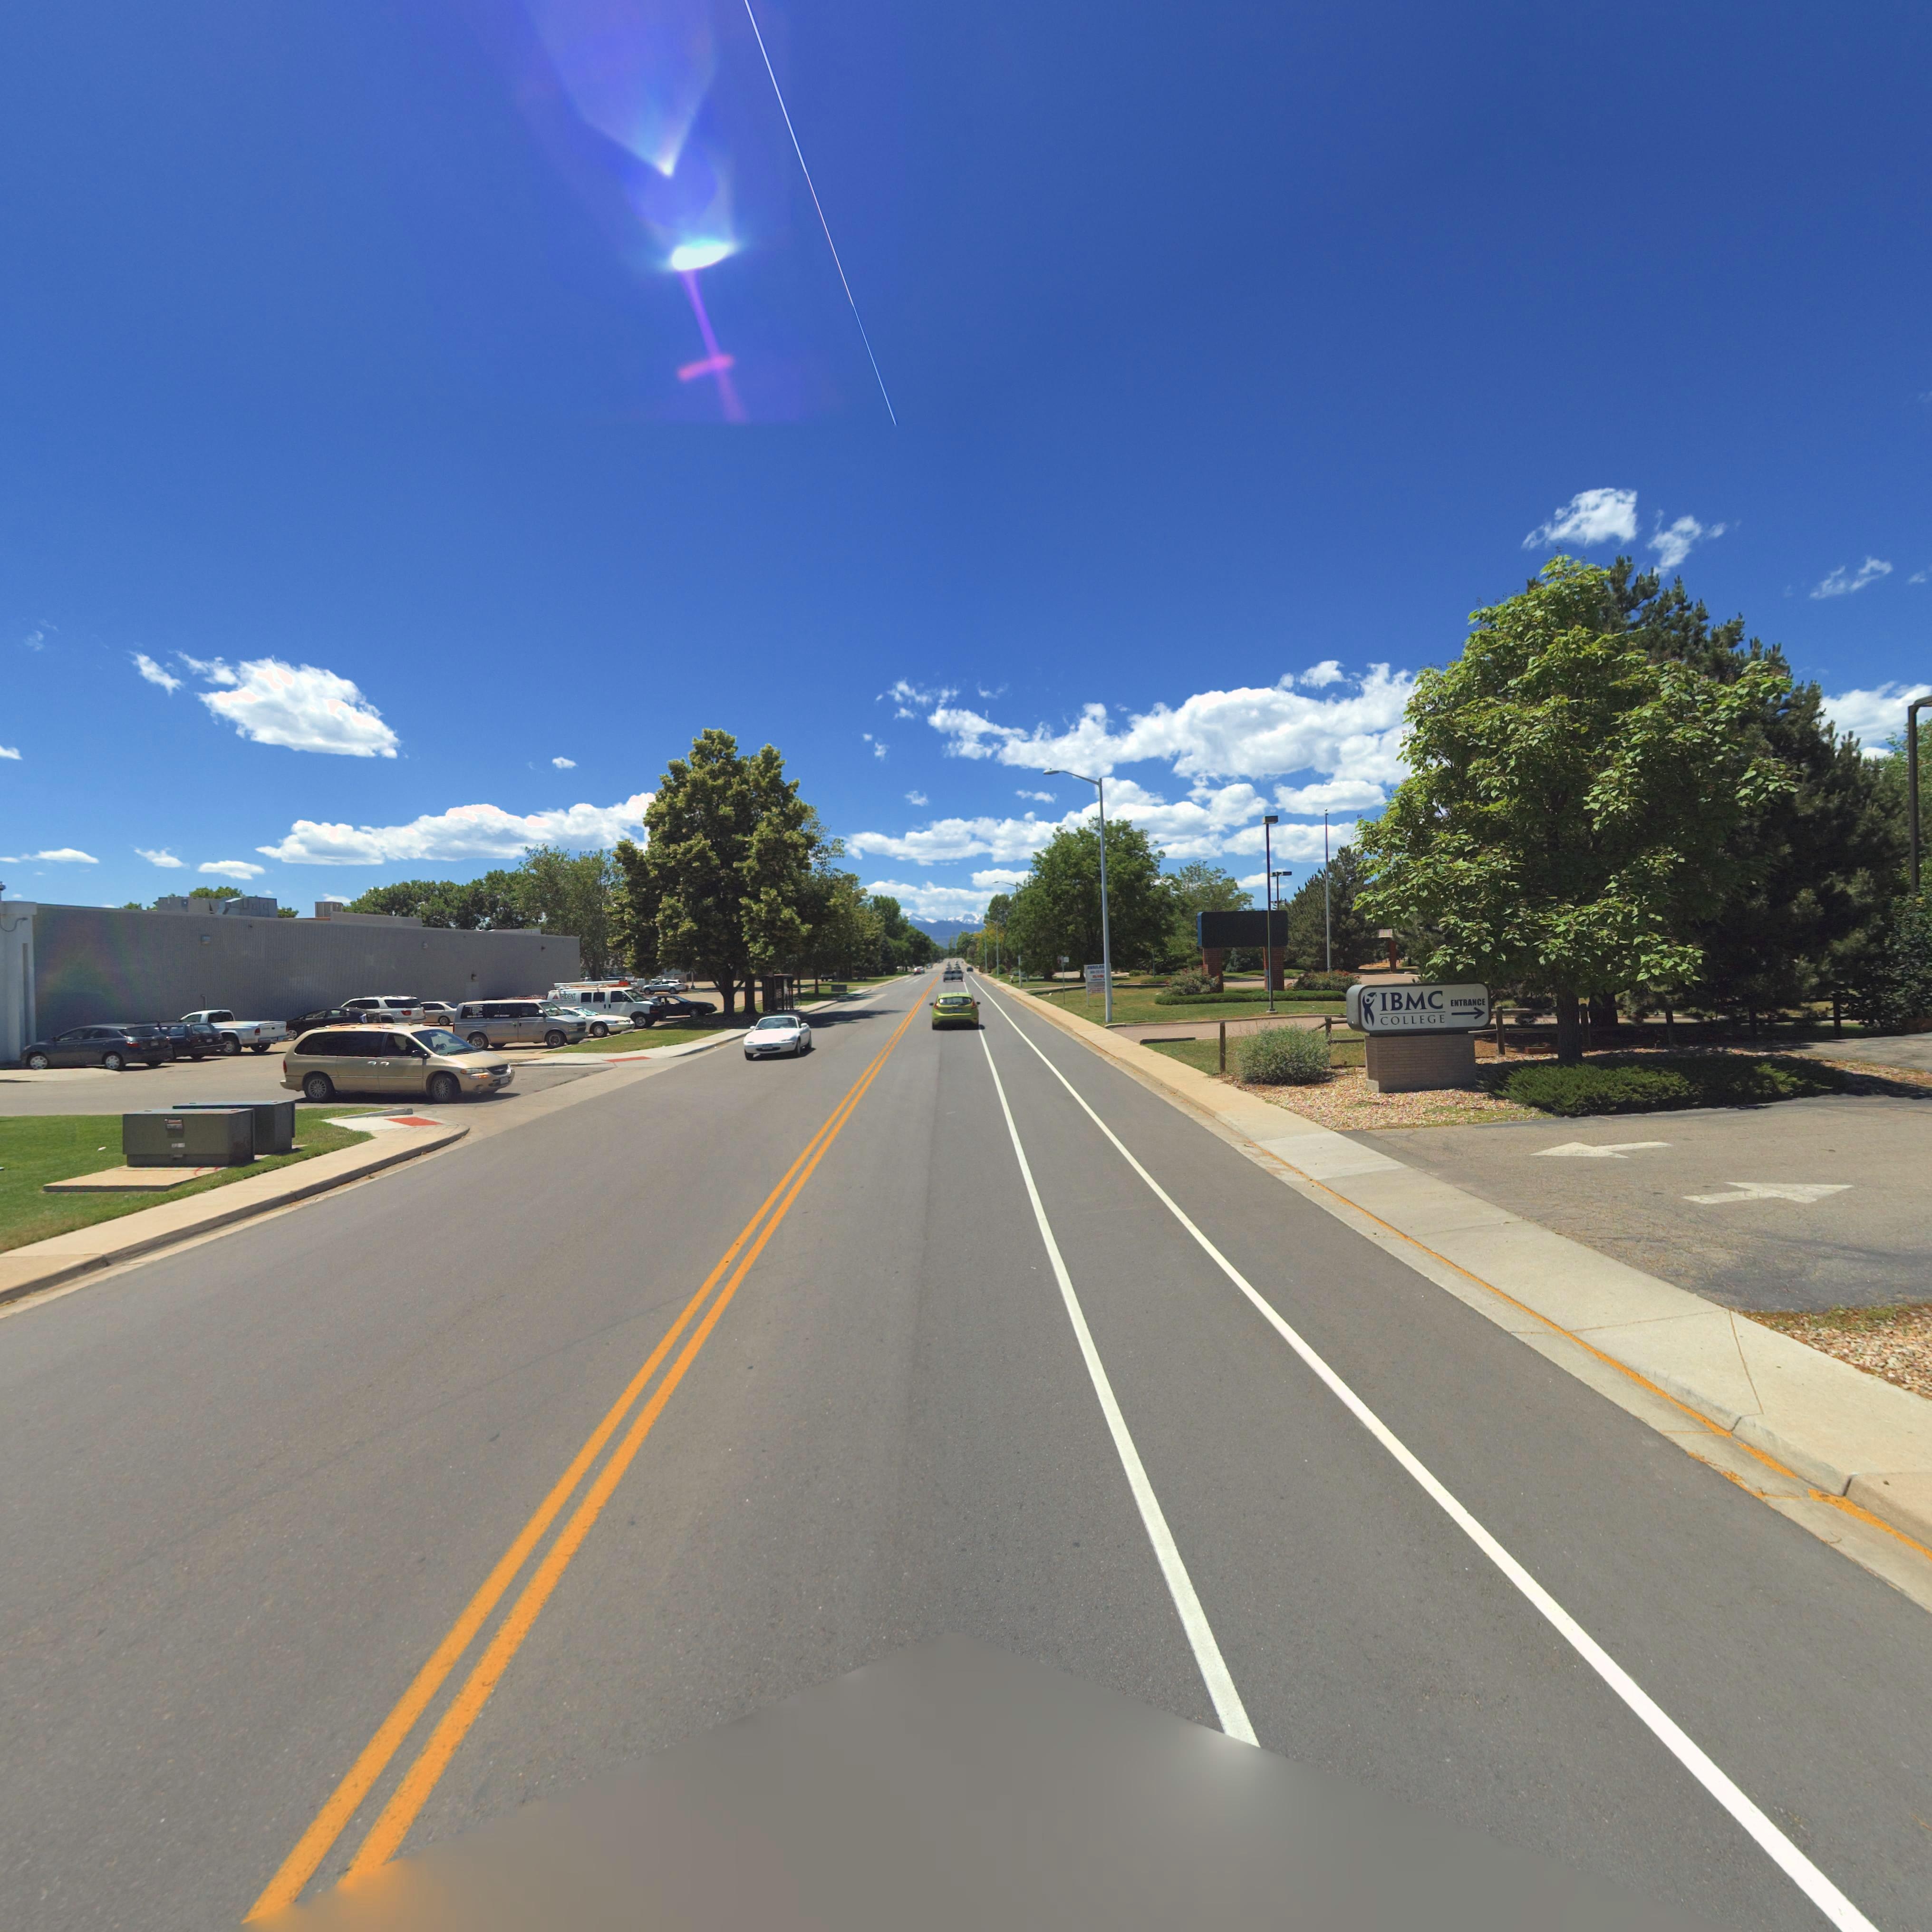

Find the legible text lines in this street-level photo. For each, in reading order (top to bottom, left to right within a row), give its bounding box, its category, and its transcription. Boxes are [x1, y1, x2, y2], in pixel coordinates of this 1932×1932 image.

[1379, 990, 1443, 1011] BusinessName: IBMC
[1380, 1014, 1445, 1025] BusinessName: COLLEGE